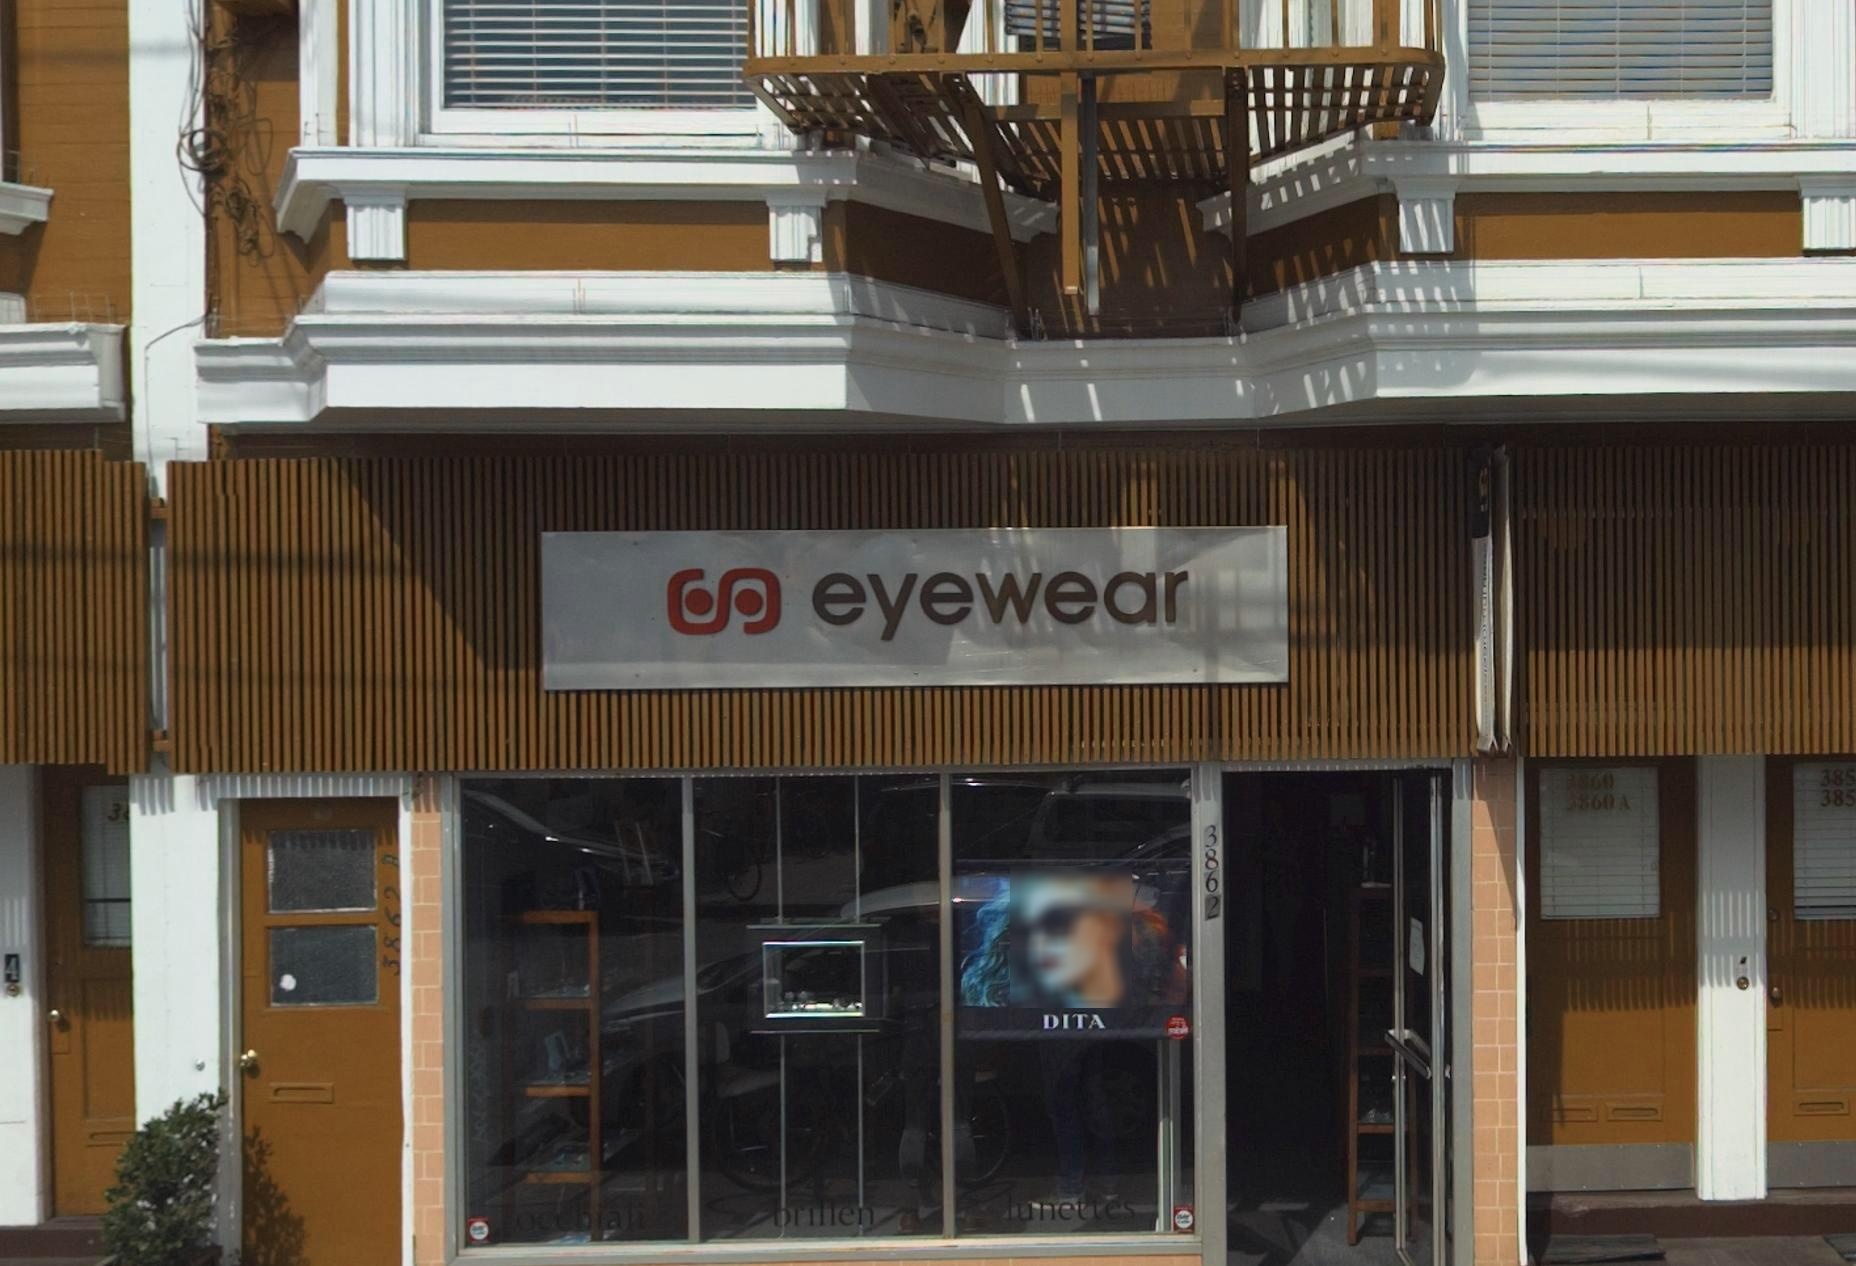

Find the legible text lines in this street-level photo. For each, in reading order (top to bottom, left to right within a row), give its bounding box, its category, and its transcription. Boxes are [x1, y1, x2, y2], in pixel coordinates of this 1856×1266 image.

[811, 569, 1189, 643] BusinessName: eyewear
[1562, 770, 1616, 791] StreetNumber: 3860
[1819, 767, 1856, 787] StreetNumber: 385
[105, 800, 122, 822] StreetNumber: 3
[1565, 792, 1629, 813] StreetNumber: *860 A
[1819, 786, 1855, 808] StreetNumber: 385
[381, 853, 399, 869] StreetNumber: A
[1204, 821, 1218, 923] StreetNumber: 3862
[5, 956, 20, 981] StreetNumber: 4
[377, 950, 399, 978] StreetNumber: 3
[1041, 1013, 1107, 1030] None: DITA
[515, 1198, 648, 1233] None: occhiali
[772, 1196, 877, 1228] None: brillen
[1002, 1190, 1137, 1222] None: lunettes